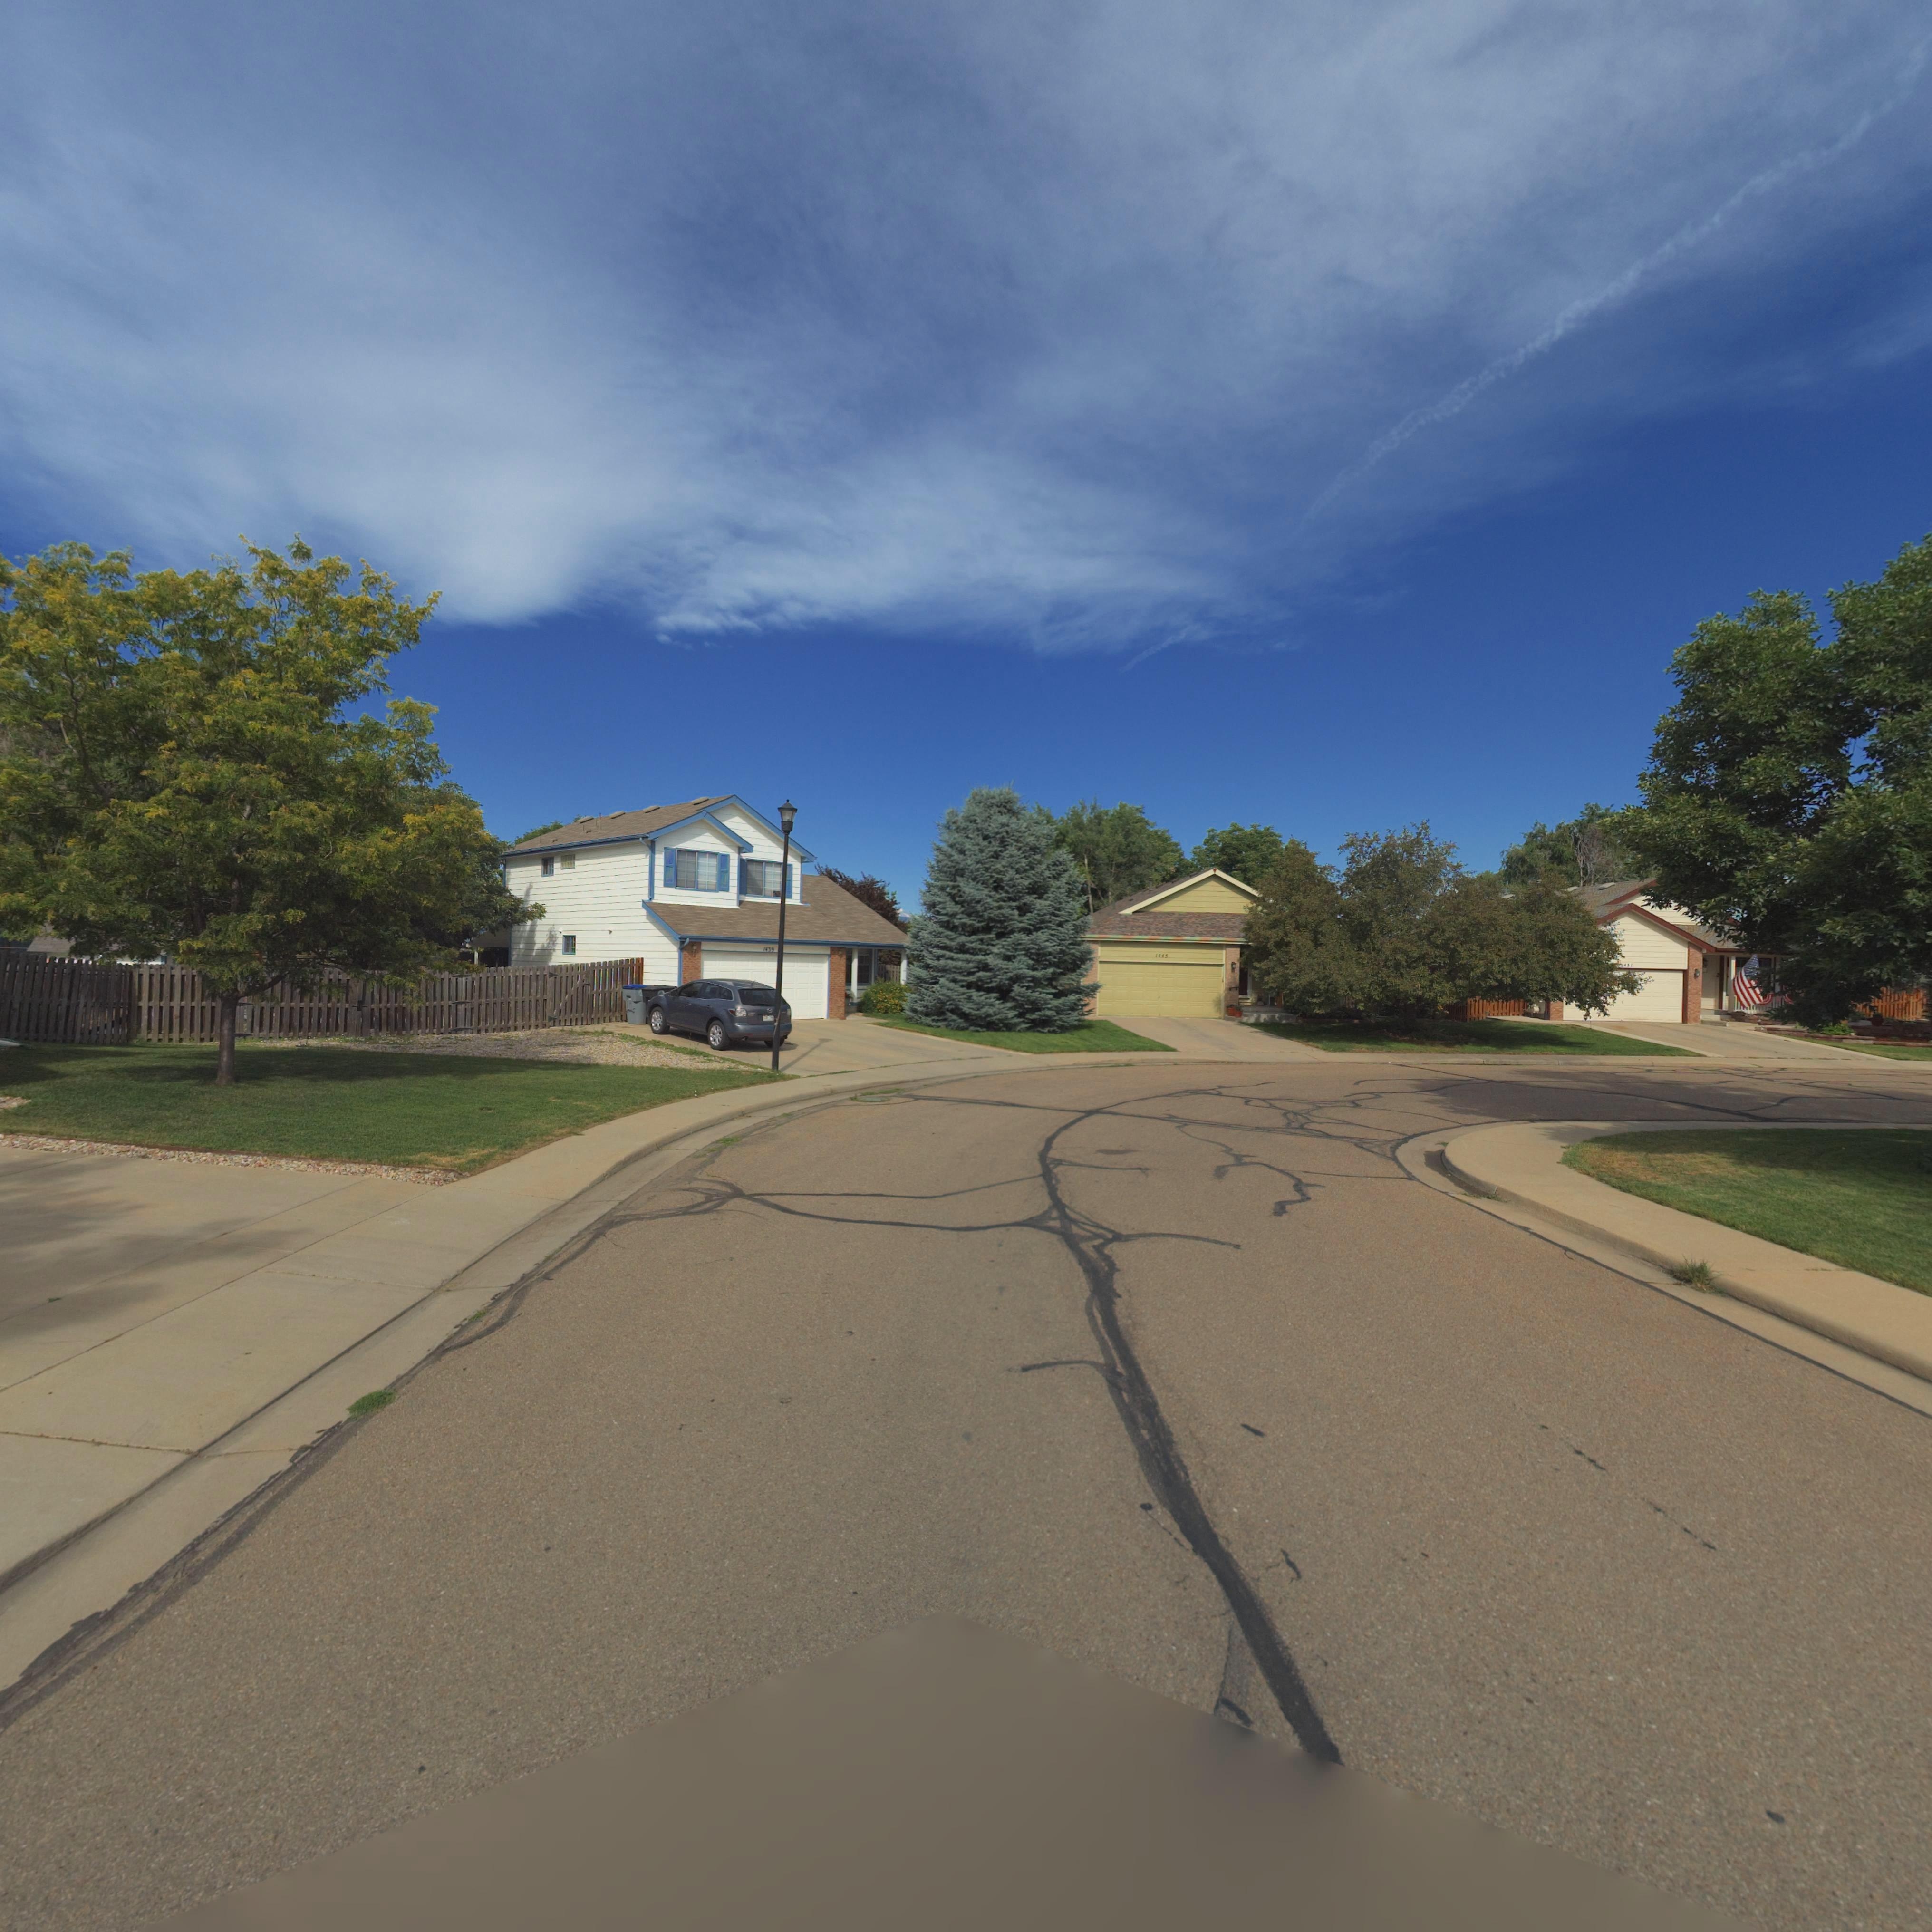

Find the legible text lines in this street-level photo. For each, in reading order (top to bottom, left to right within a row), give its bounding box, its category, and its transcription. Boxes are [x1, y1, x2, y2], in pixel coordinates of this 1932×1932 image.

[763, 946, 774, 952] StreetNumber: 1439
[1155, 953, 1169, 958] StreetNumber: 1445
[1621, 962, 1633, 967] StreetNumber: 1451